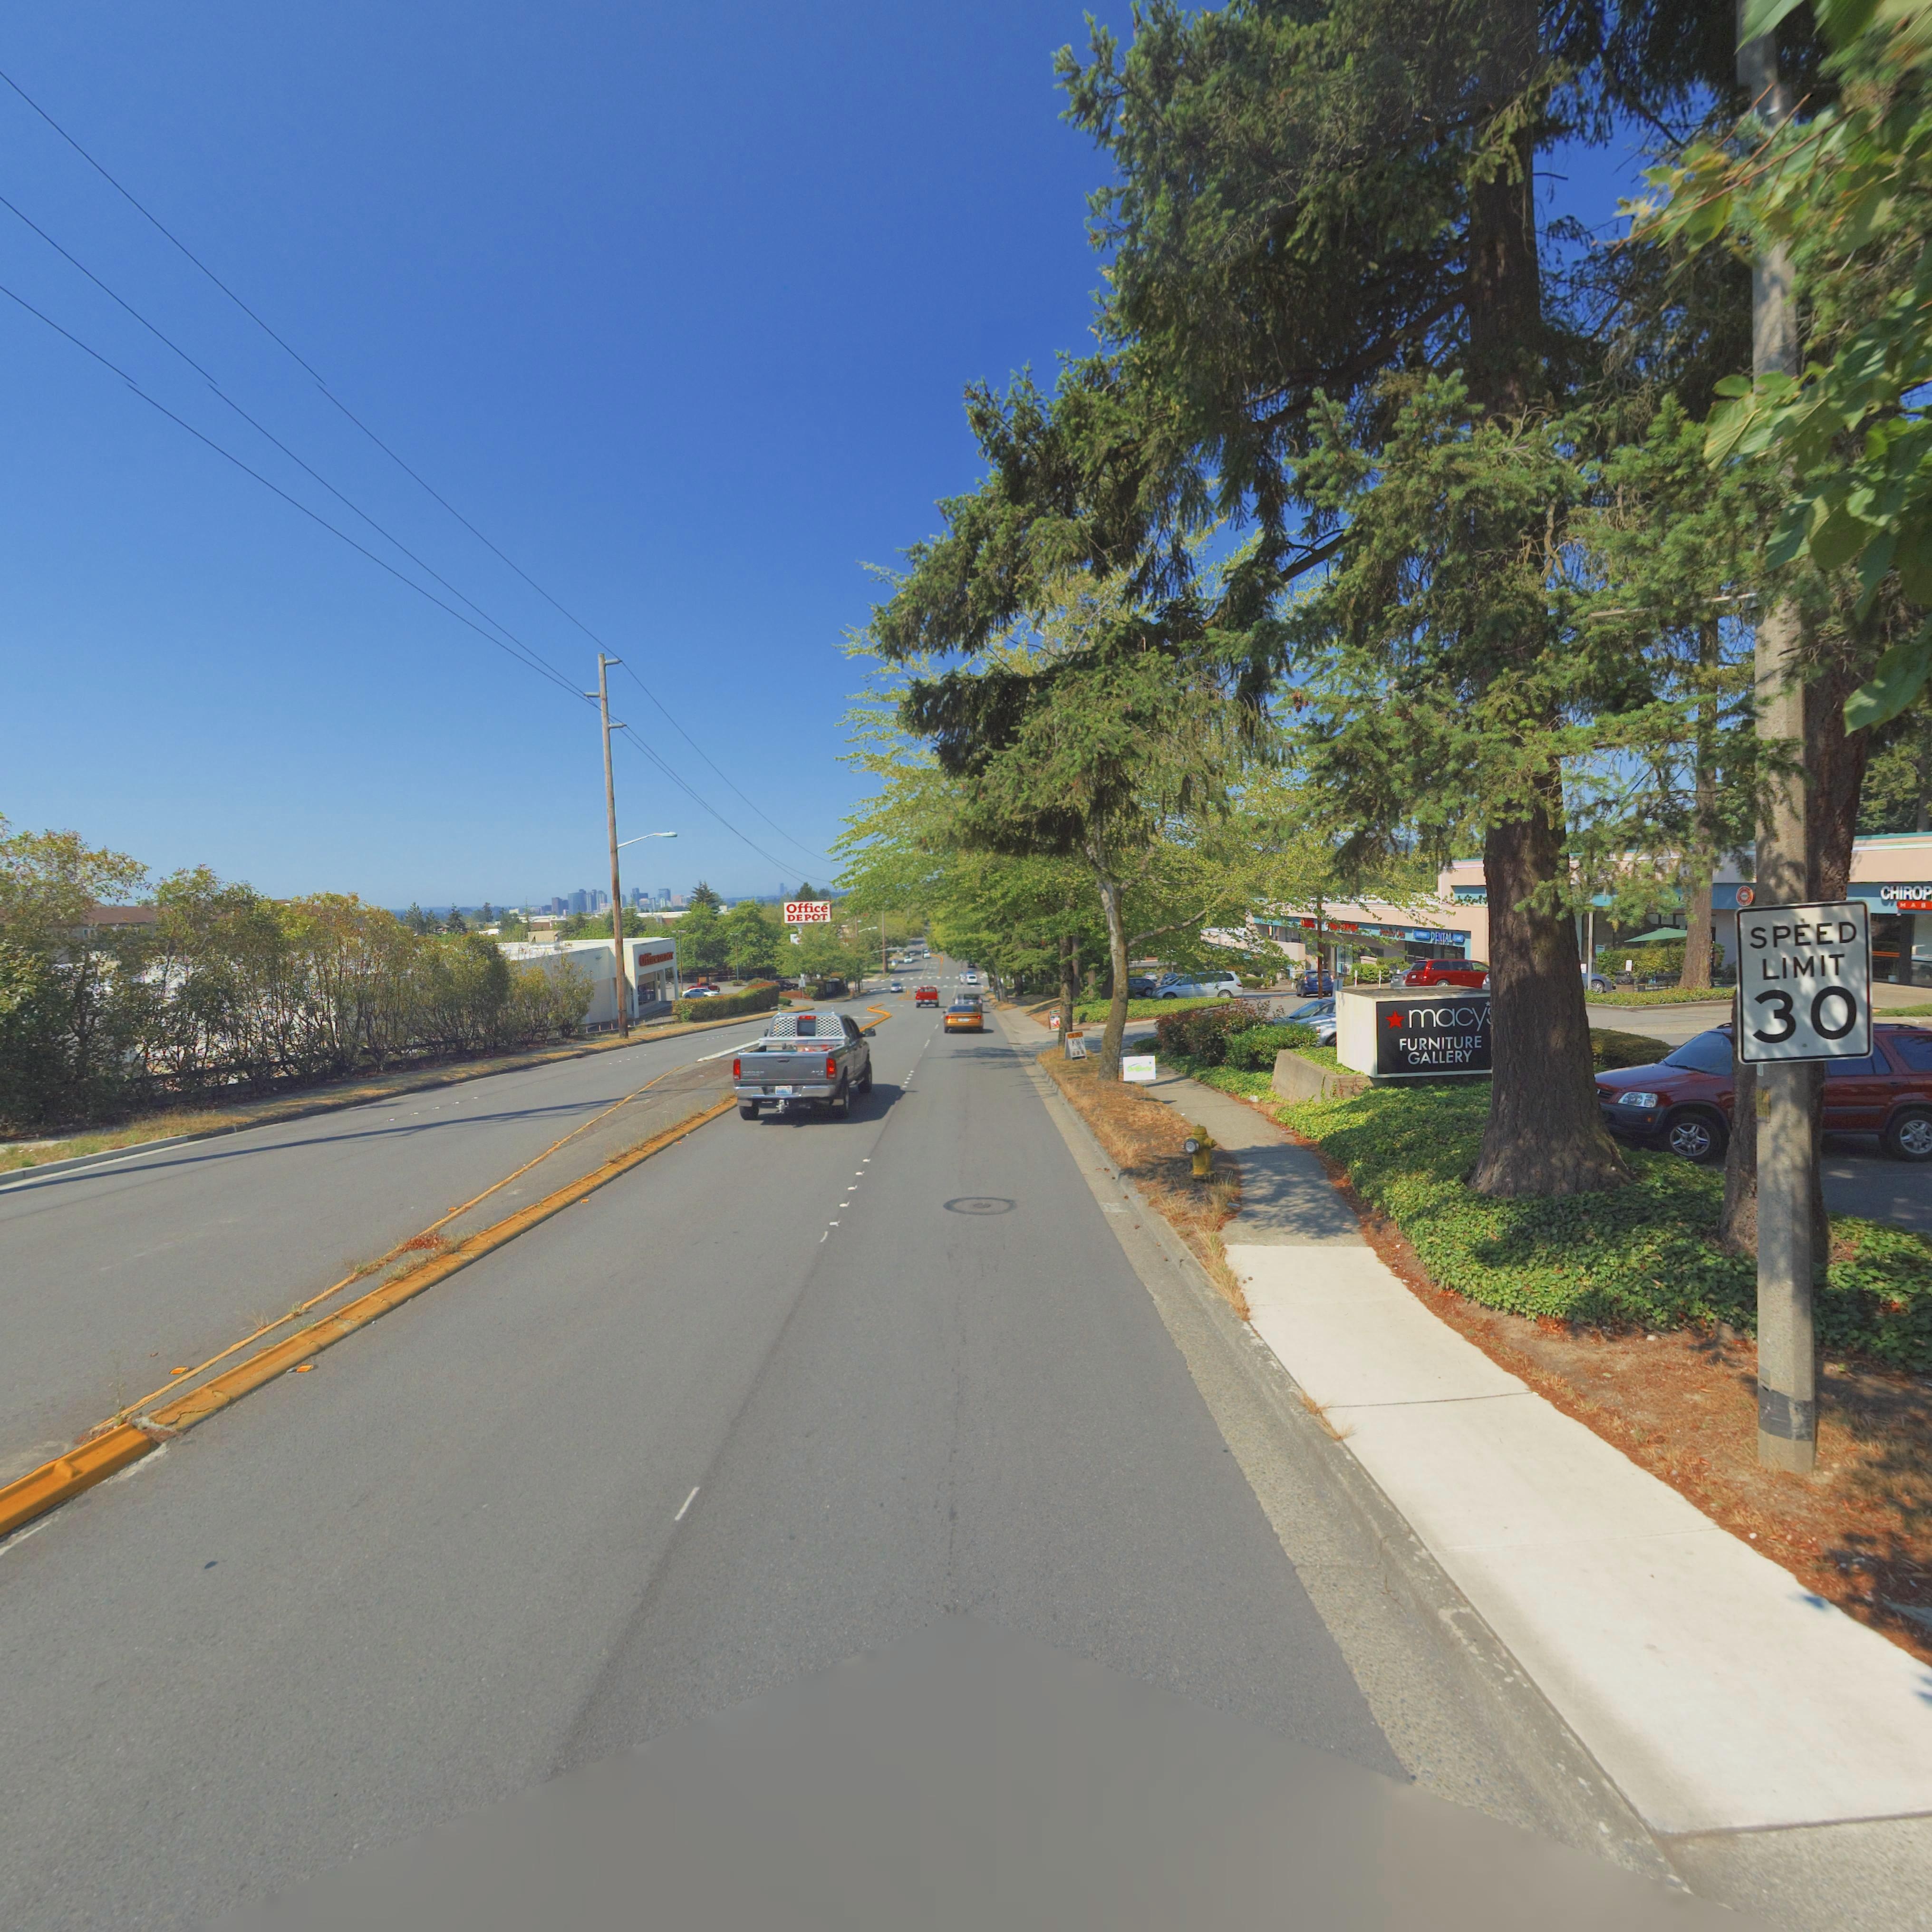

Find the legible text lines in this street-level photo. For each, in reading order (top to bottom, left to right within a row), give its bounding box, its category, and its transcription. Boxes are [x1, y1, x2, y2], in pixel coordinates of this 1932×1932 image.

[785, 902, 829, 913] BusinessName: Office
[786, 913, 828, 922] BusinessName: DEPOT
[1429, 929, 1454, 944] BusinessName: DENTAL
[1748, 920, 1858, 950] TrafficSign: SPEED
[1407, 1005, 1488, 1033] BusinessName: macy*
[1399, 1034, 1483, 1052] BusinessName: FURNITURE
[1408, 1050, 1472, 1063] BusinessName: GALLERY